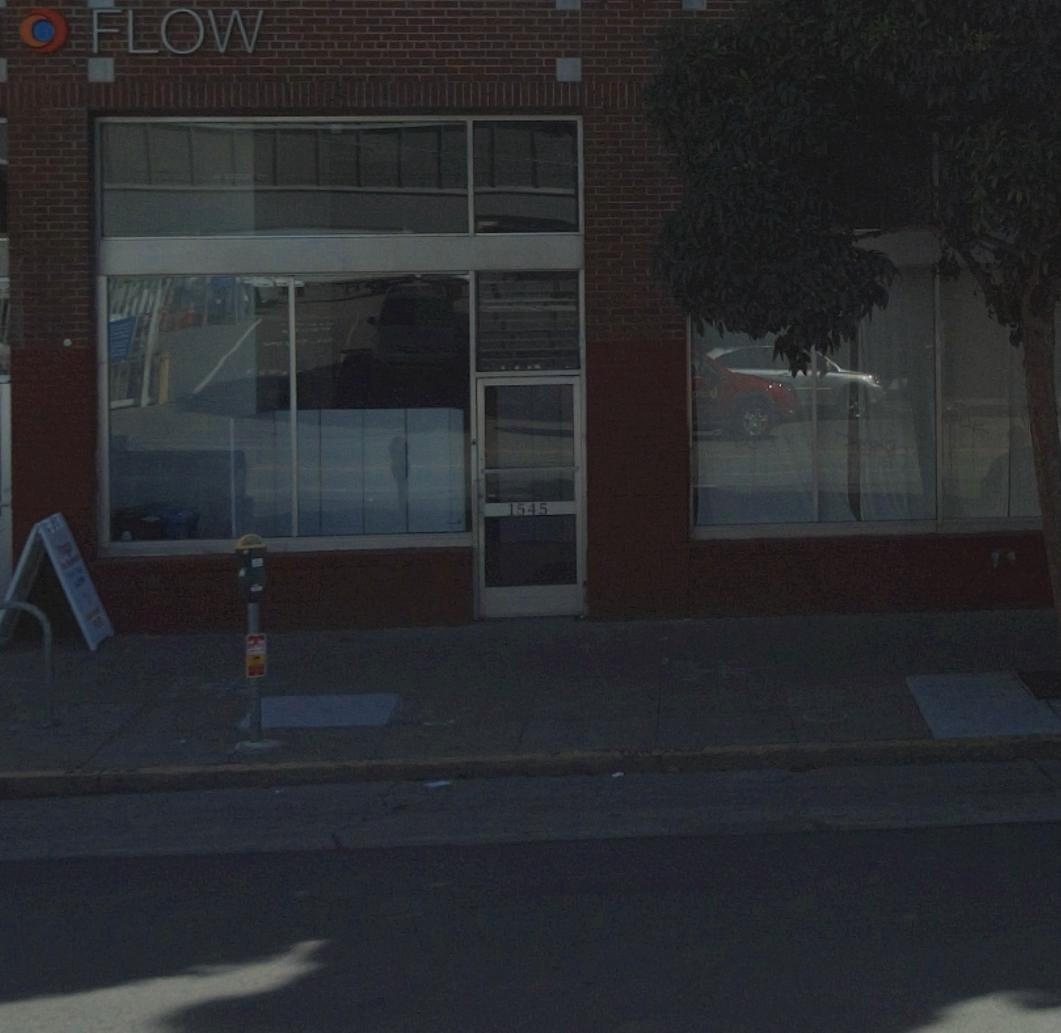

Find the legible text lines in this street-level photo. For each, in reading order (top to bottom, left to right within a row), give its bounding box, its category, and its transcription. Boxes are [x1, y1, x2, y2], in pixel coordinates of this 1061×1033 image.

[83, 2, 283, 59] BusinessName: FLOW
[506, 500, 552, 520] StreetNumber: 1545